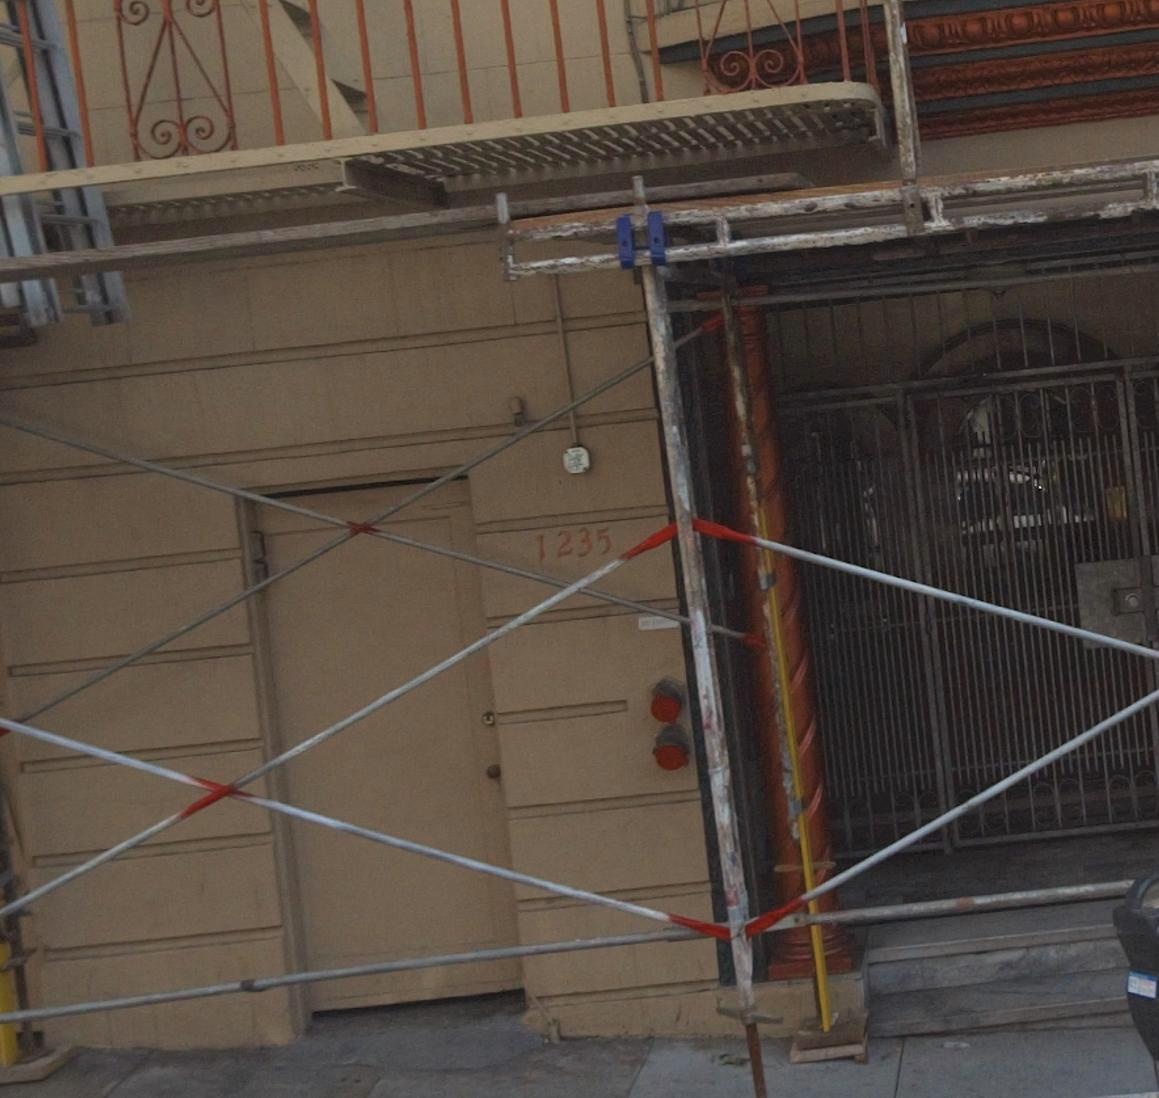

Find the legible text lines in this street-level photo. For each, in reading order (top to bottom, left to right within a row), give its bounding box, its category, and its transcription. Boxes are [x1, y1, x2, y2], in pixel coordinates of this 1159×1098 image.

[532, 523, 619, 563] StreetNumber: 1235